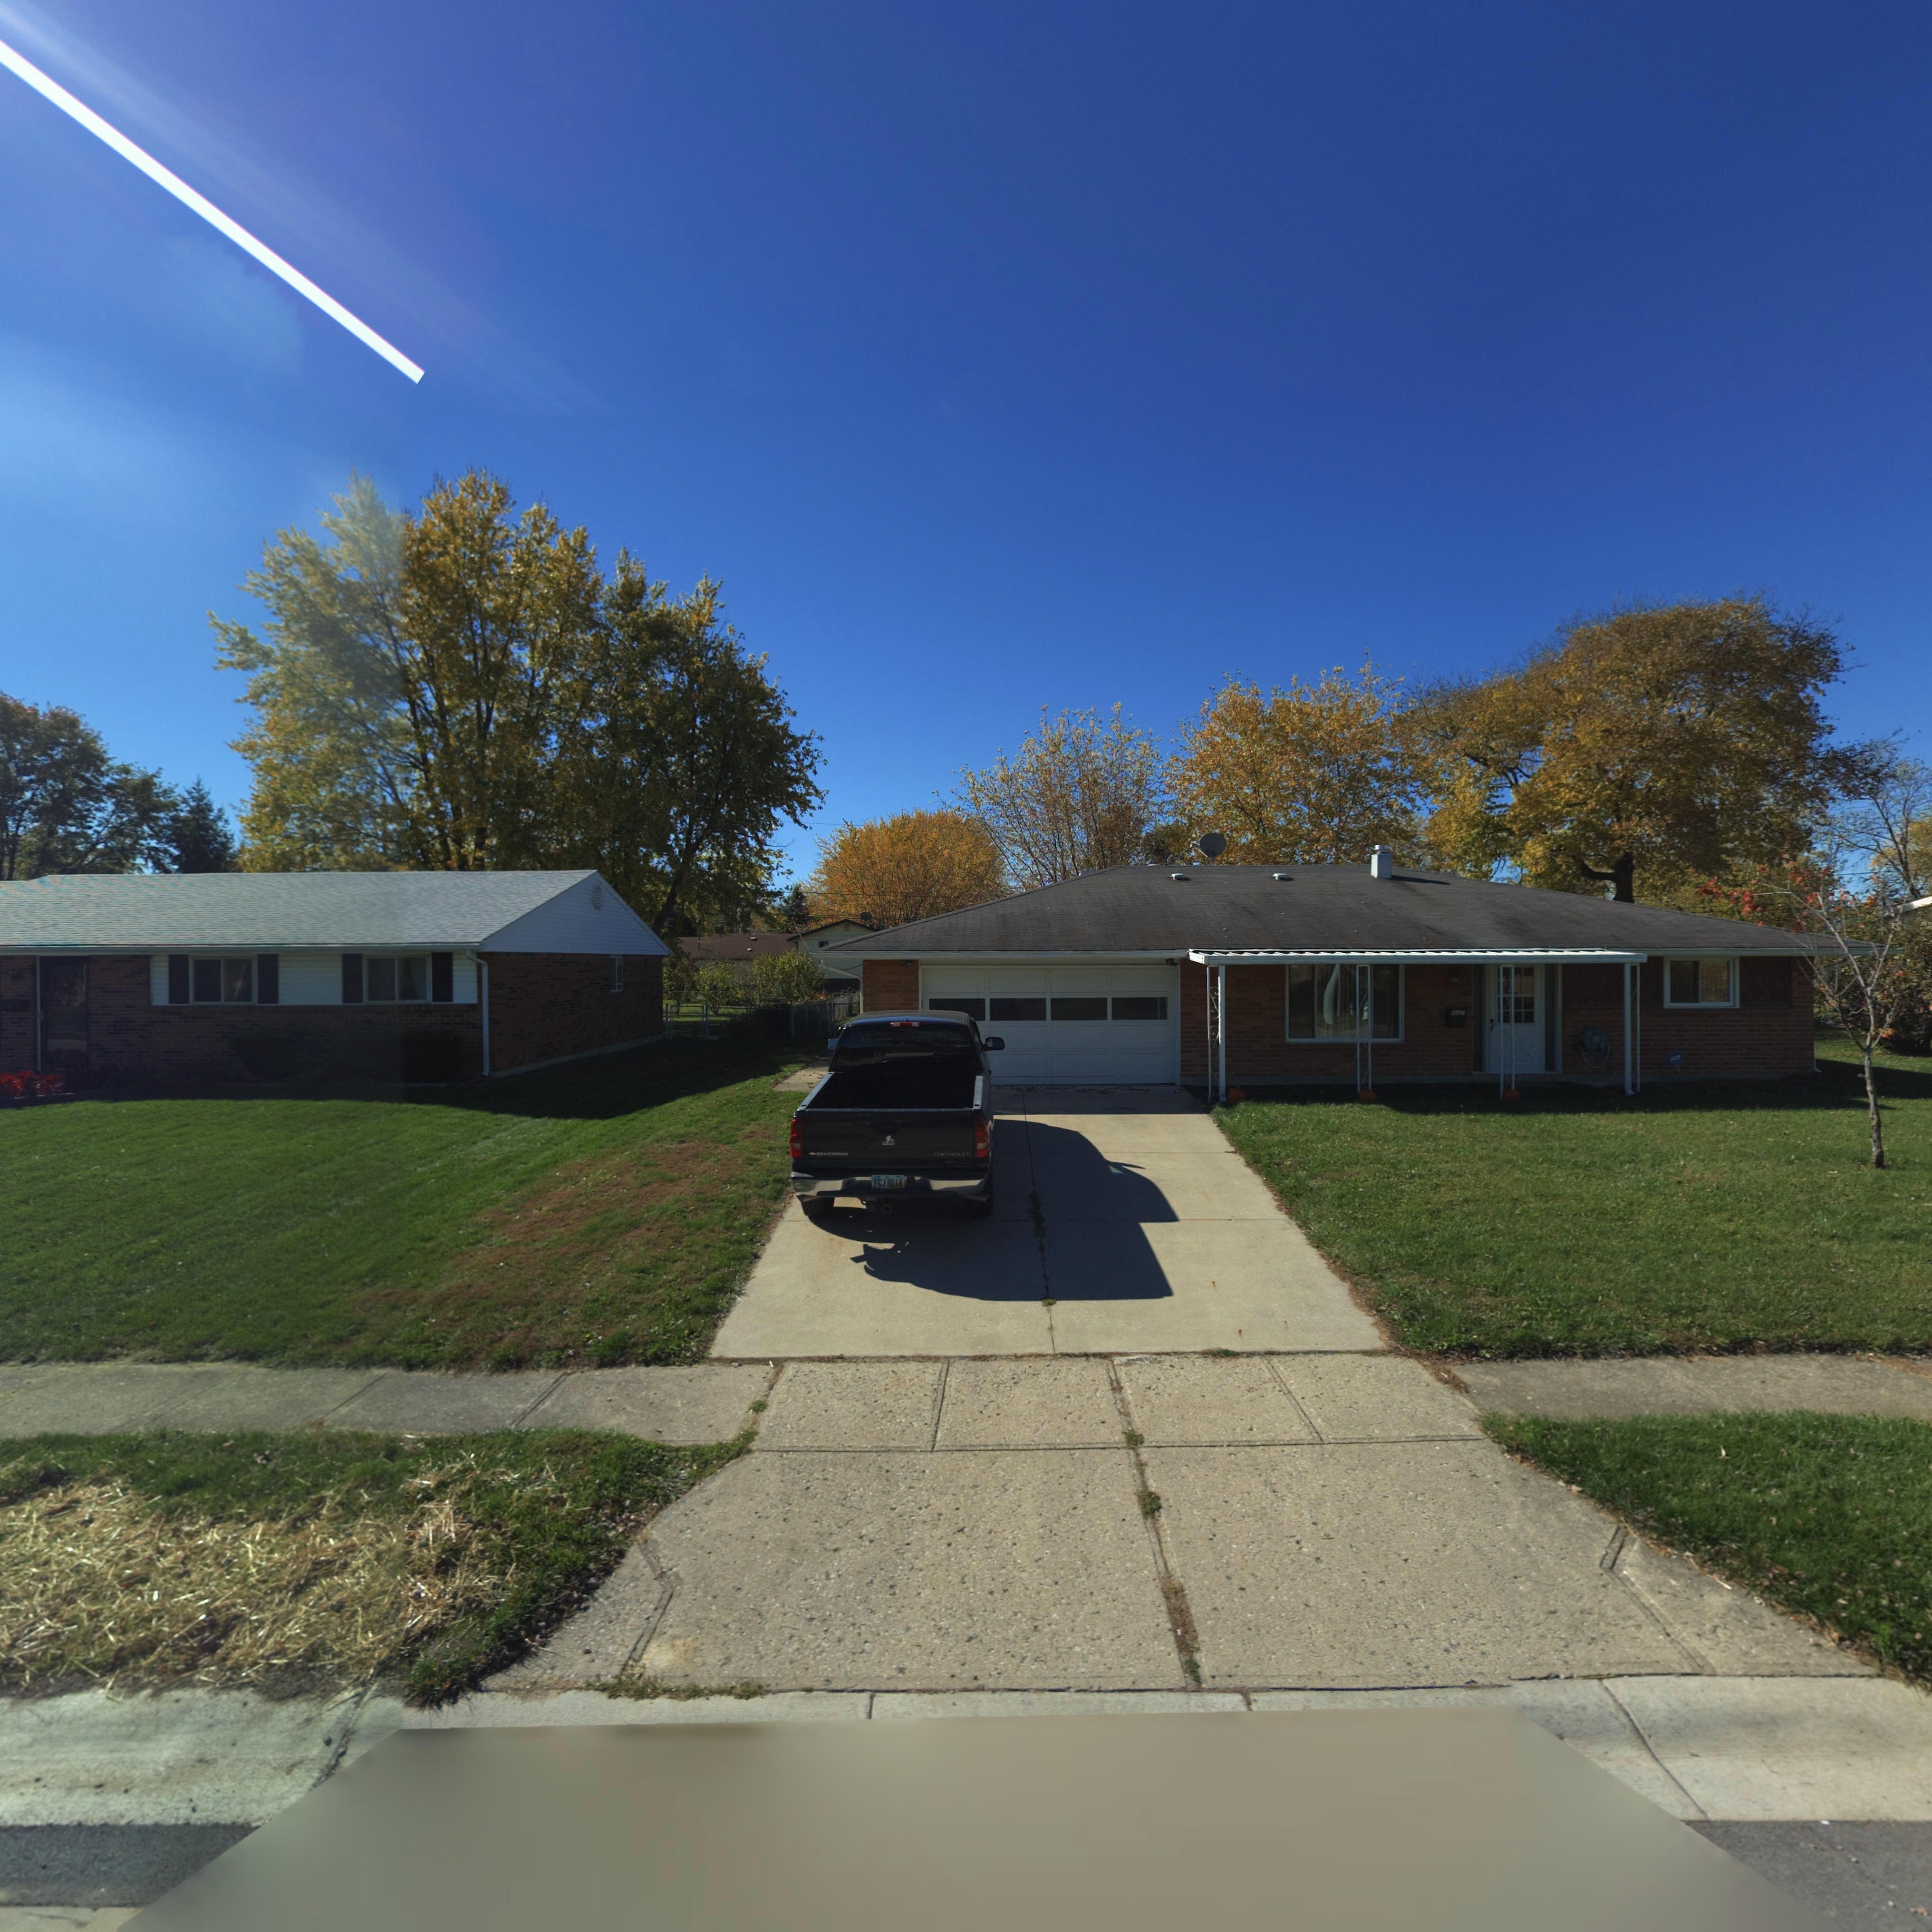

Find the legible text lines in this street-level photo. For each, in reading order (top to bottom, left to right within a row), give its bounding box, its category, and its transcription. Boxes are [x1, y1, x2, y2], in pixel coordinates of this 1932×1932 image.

[1457, 1010, 1461, 1016] StreetNumber: 2